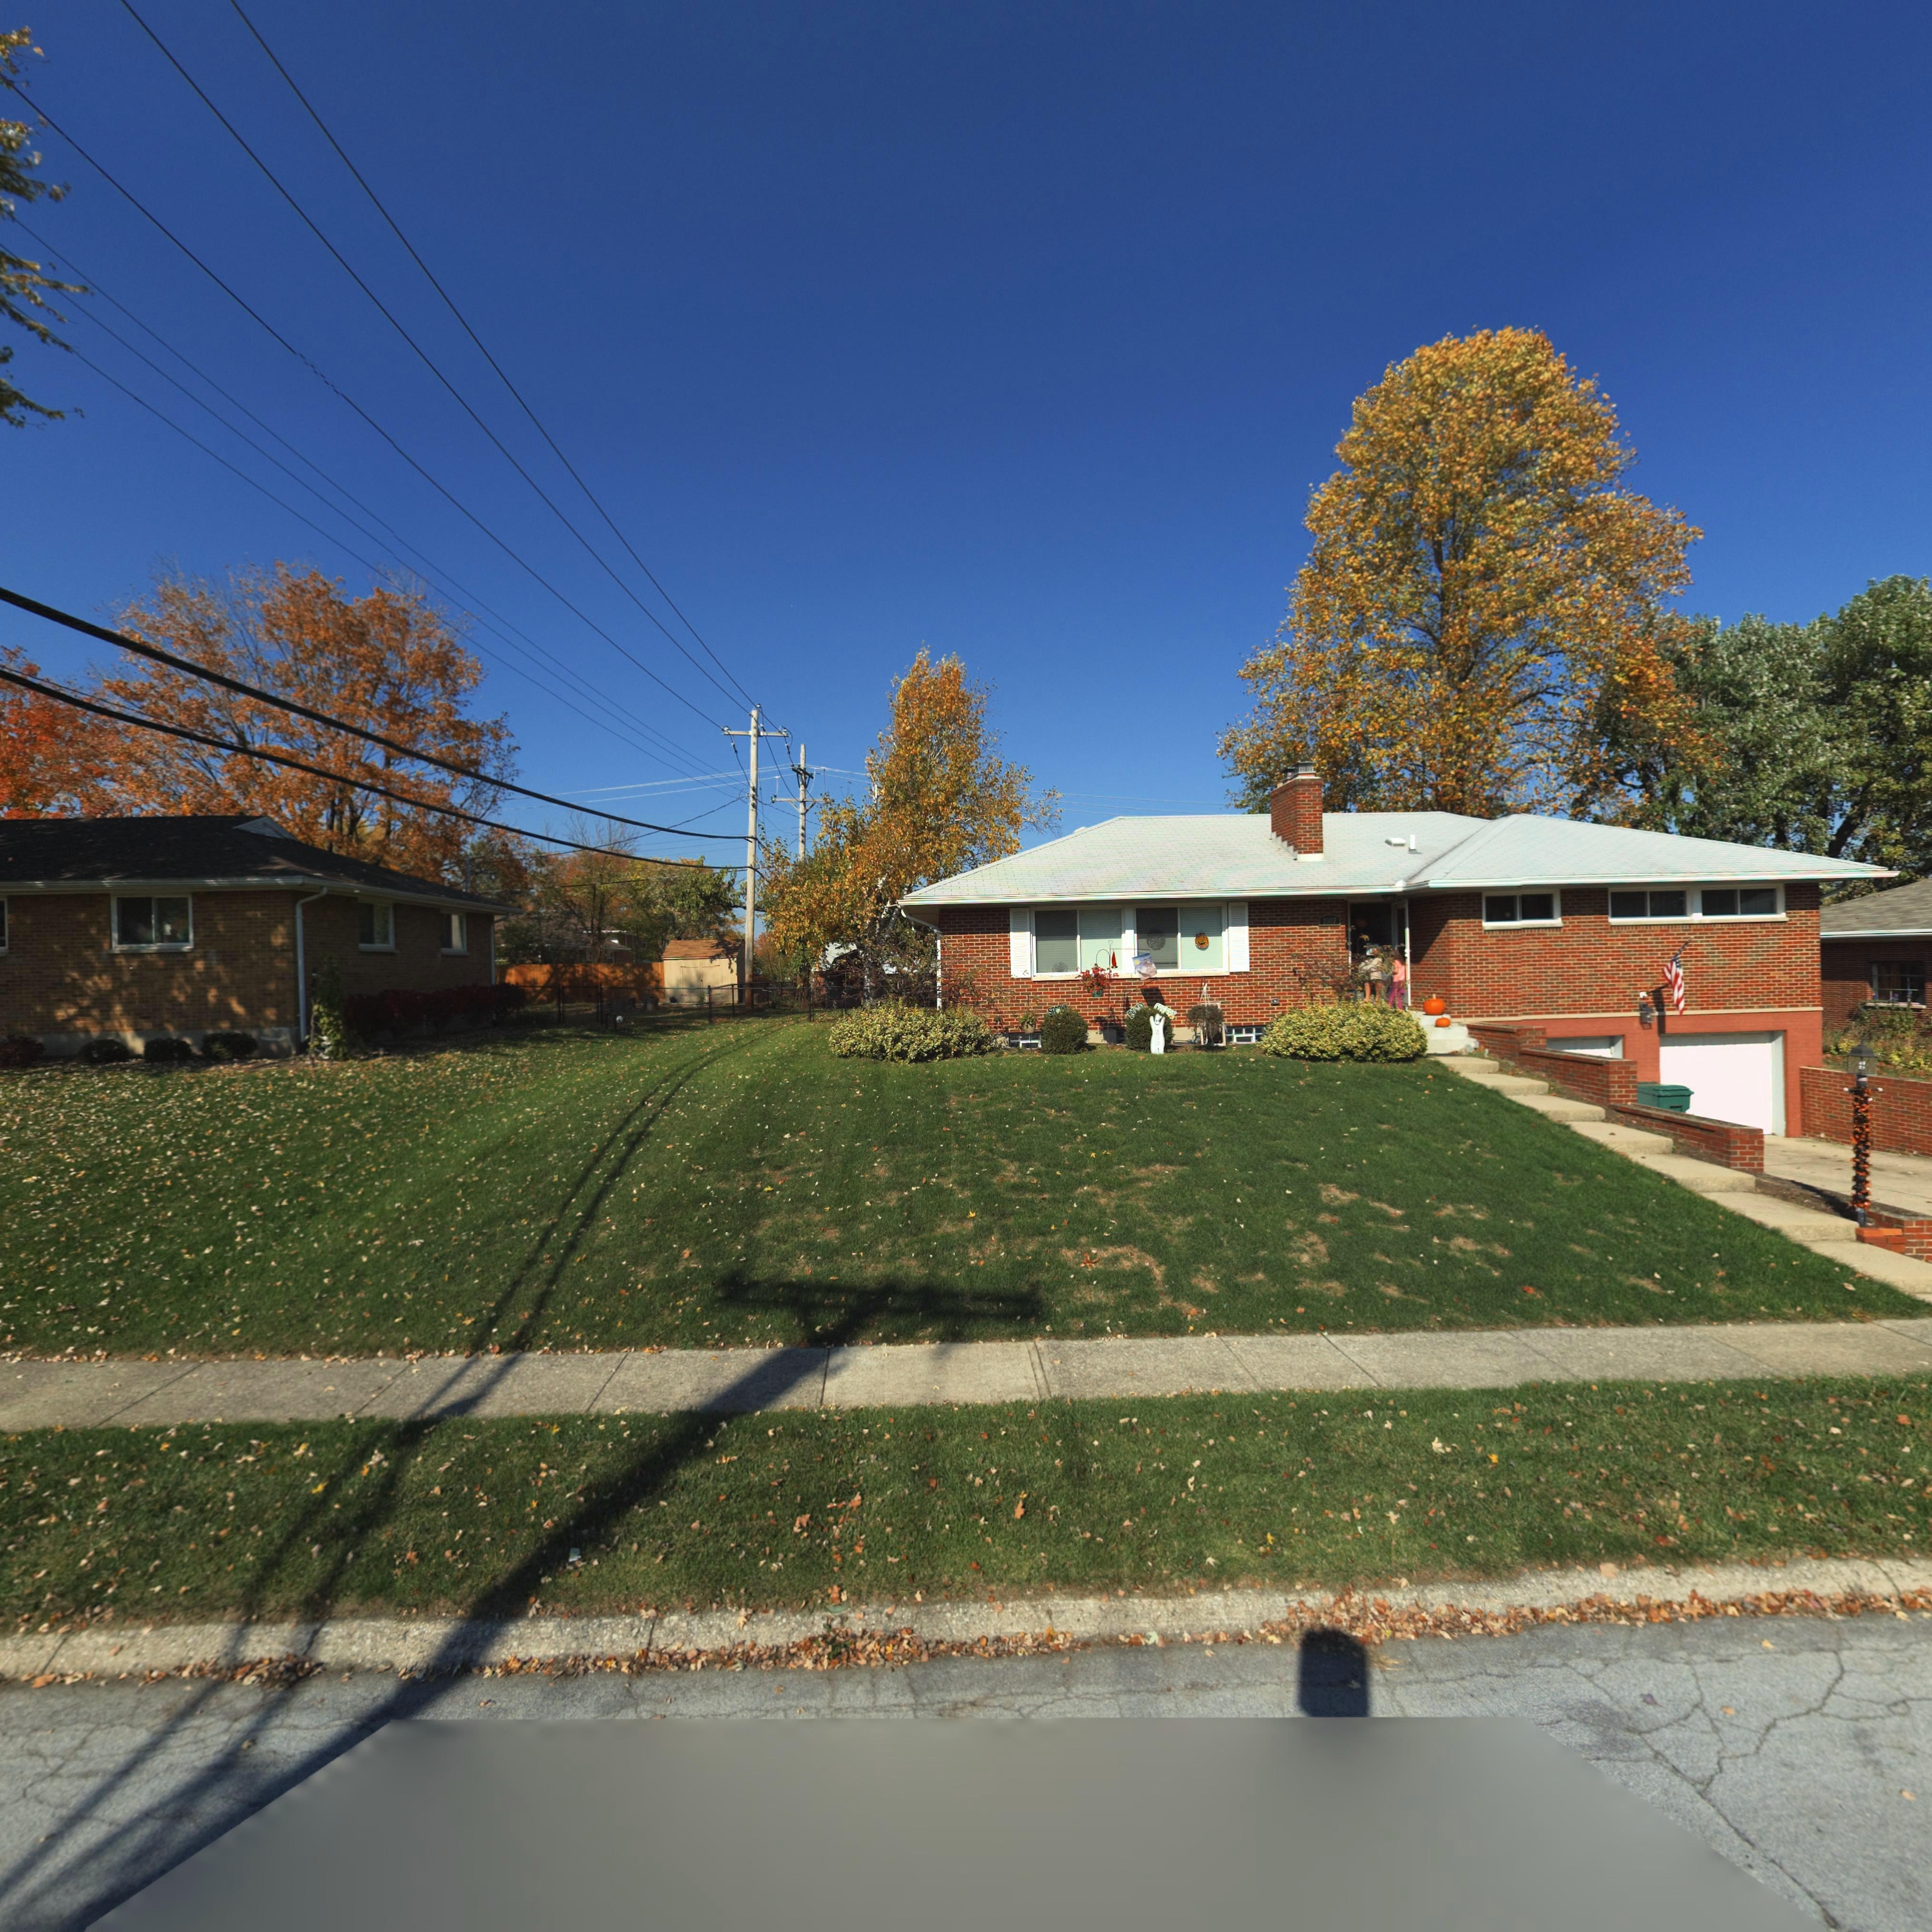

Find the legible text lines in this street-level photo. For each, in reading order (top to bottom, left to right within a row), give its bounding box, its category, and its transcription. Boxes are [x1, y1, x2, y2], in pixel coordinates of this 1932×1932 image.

[1323, 917, 1336, 925] StreetNumber: 1007
[1156, 1029, 1160, 1046] None: BOO